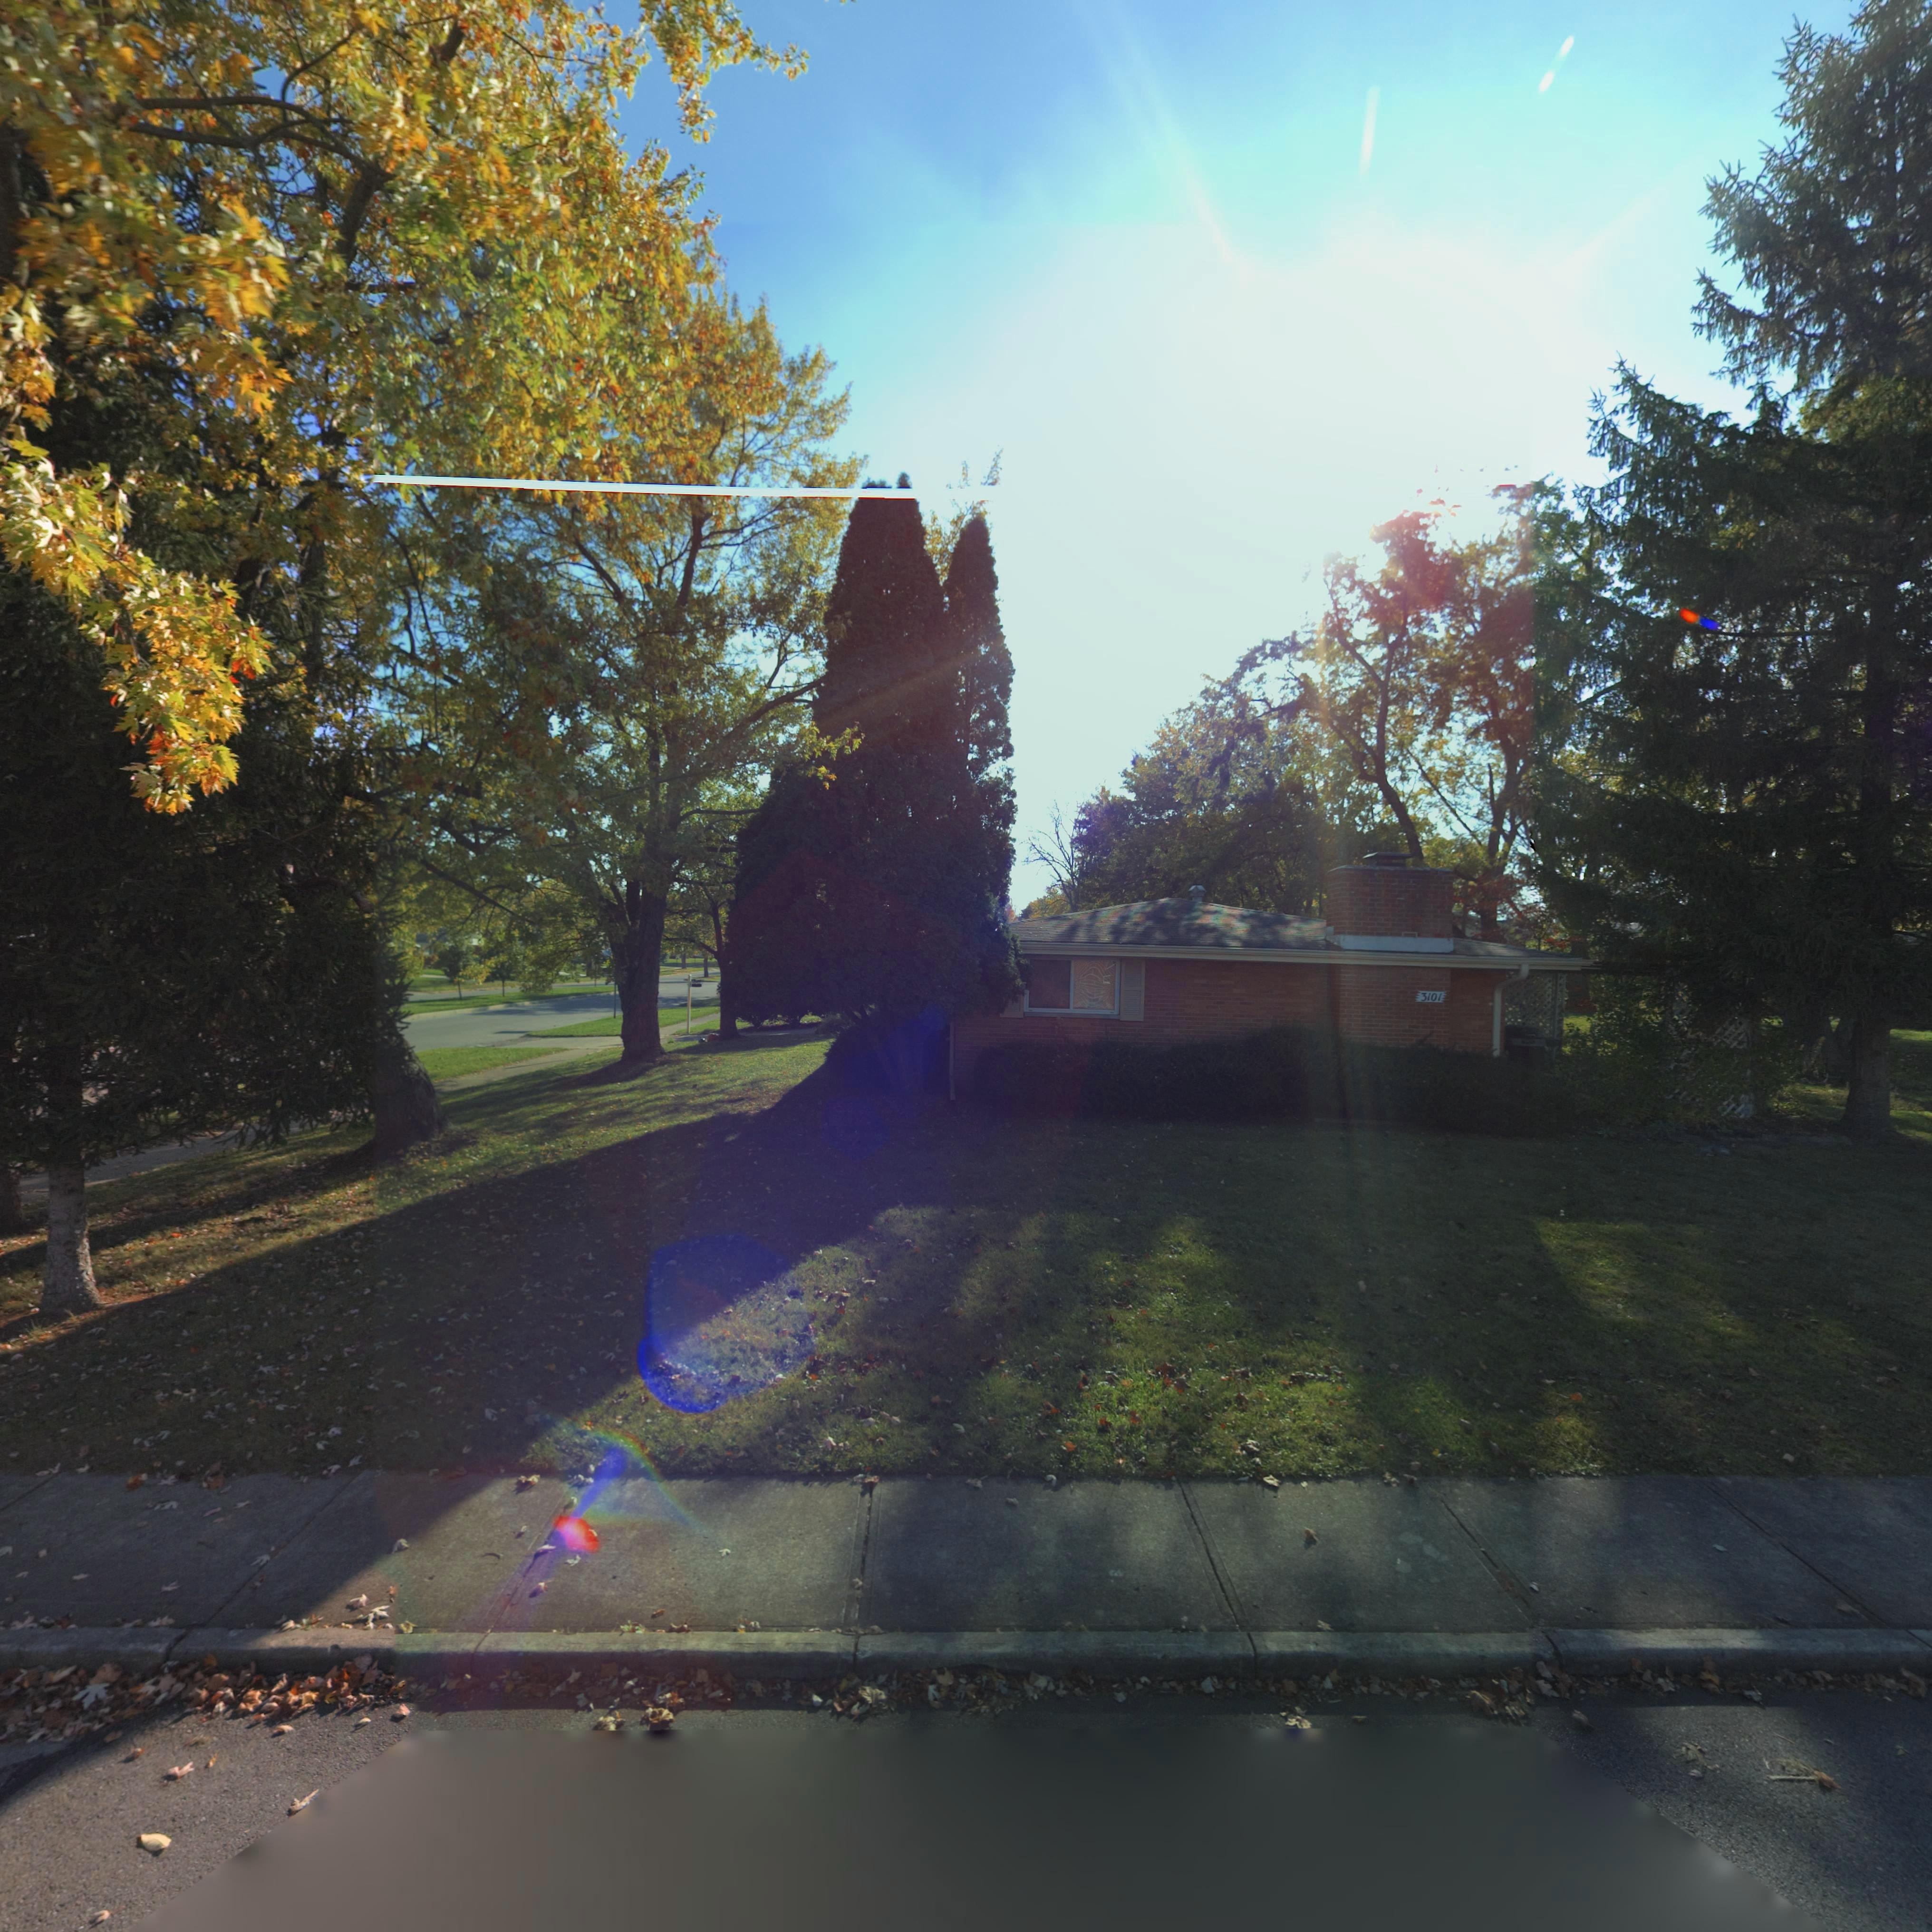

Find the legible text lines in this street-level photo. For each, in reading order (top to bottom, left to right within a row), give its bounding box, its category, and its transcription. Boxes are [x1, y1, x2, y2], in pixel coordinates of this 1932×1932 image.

[1420, 991, 1444, 1003] StreetNumber: 3101